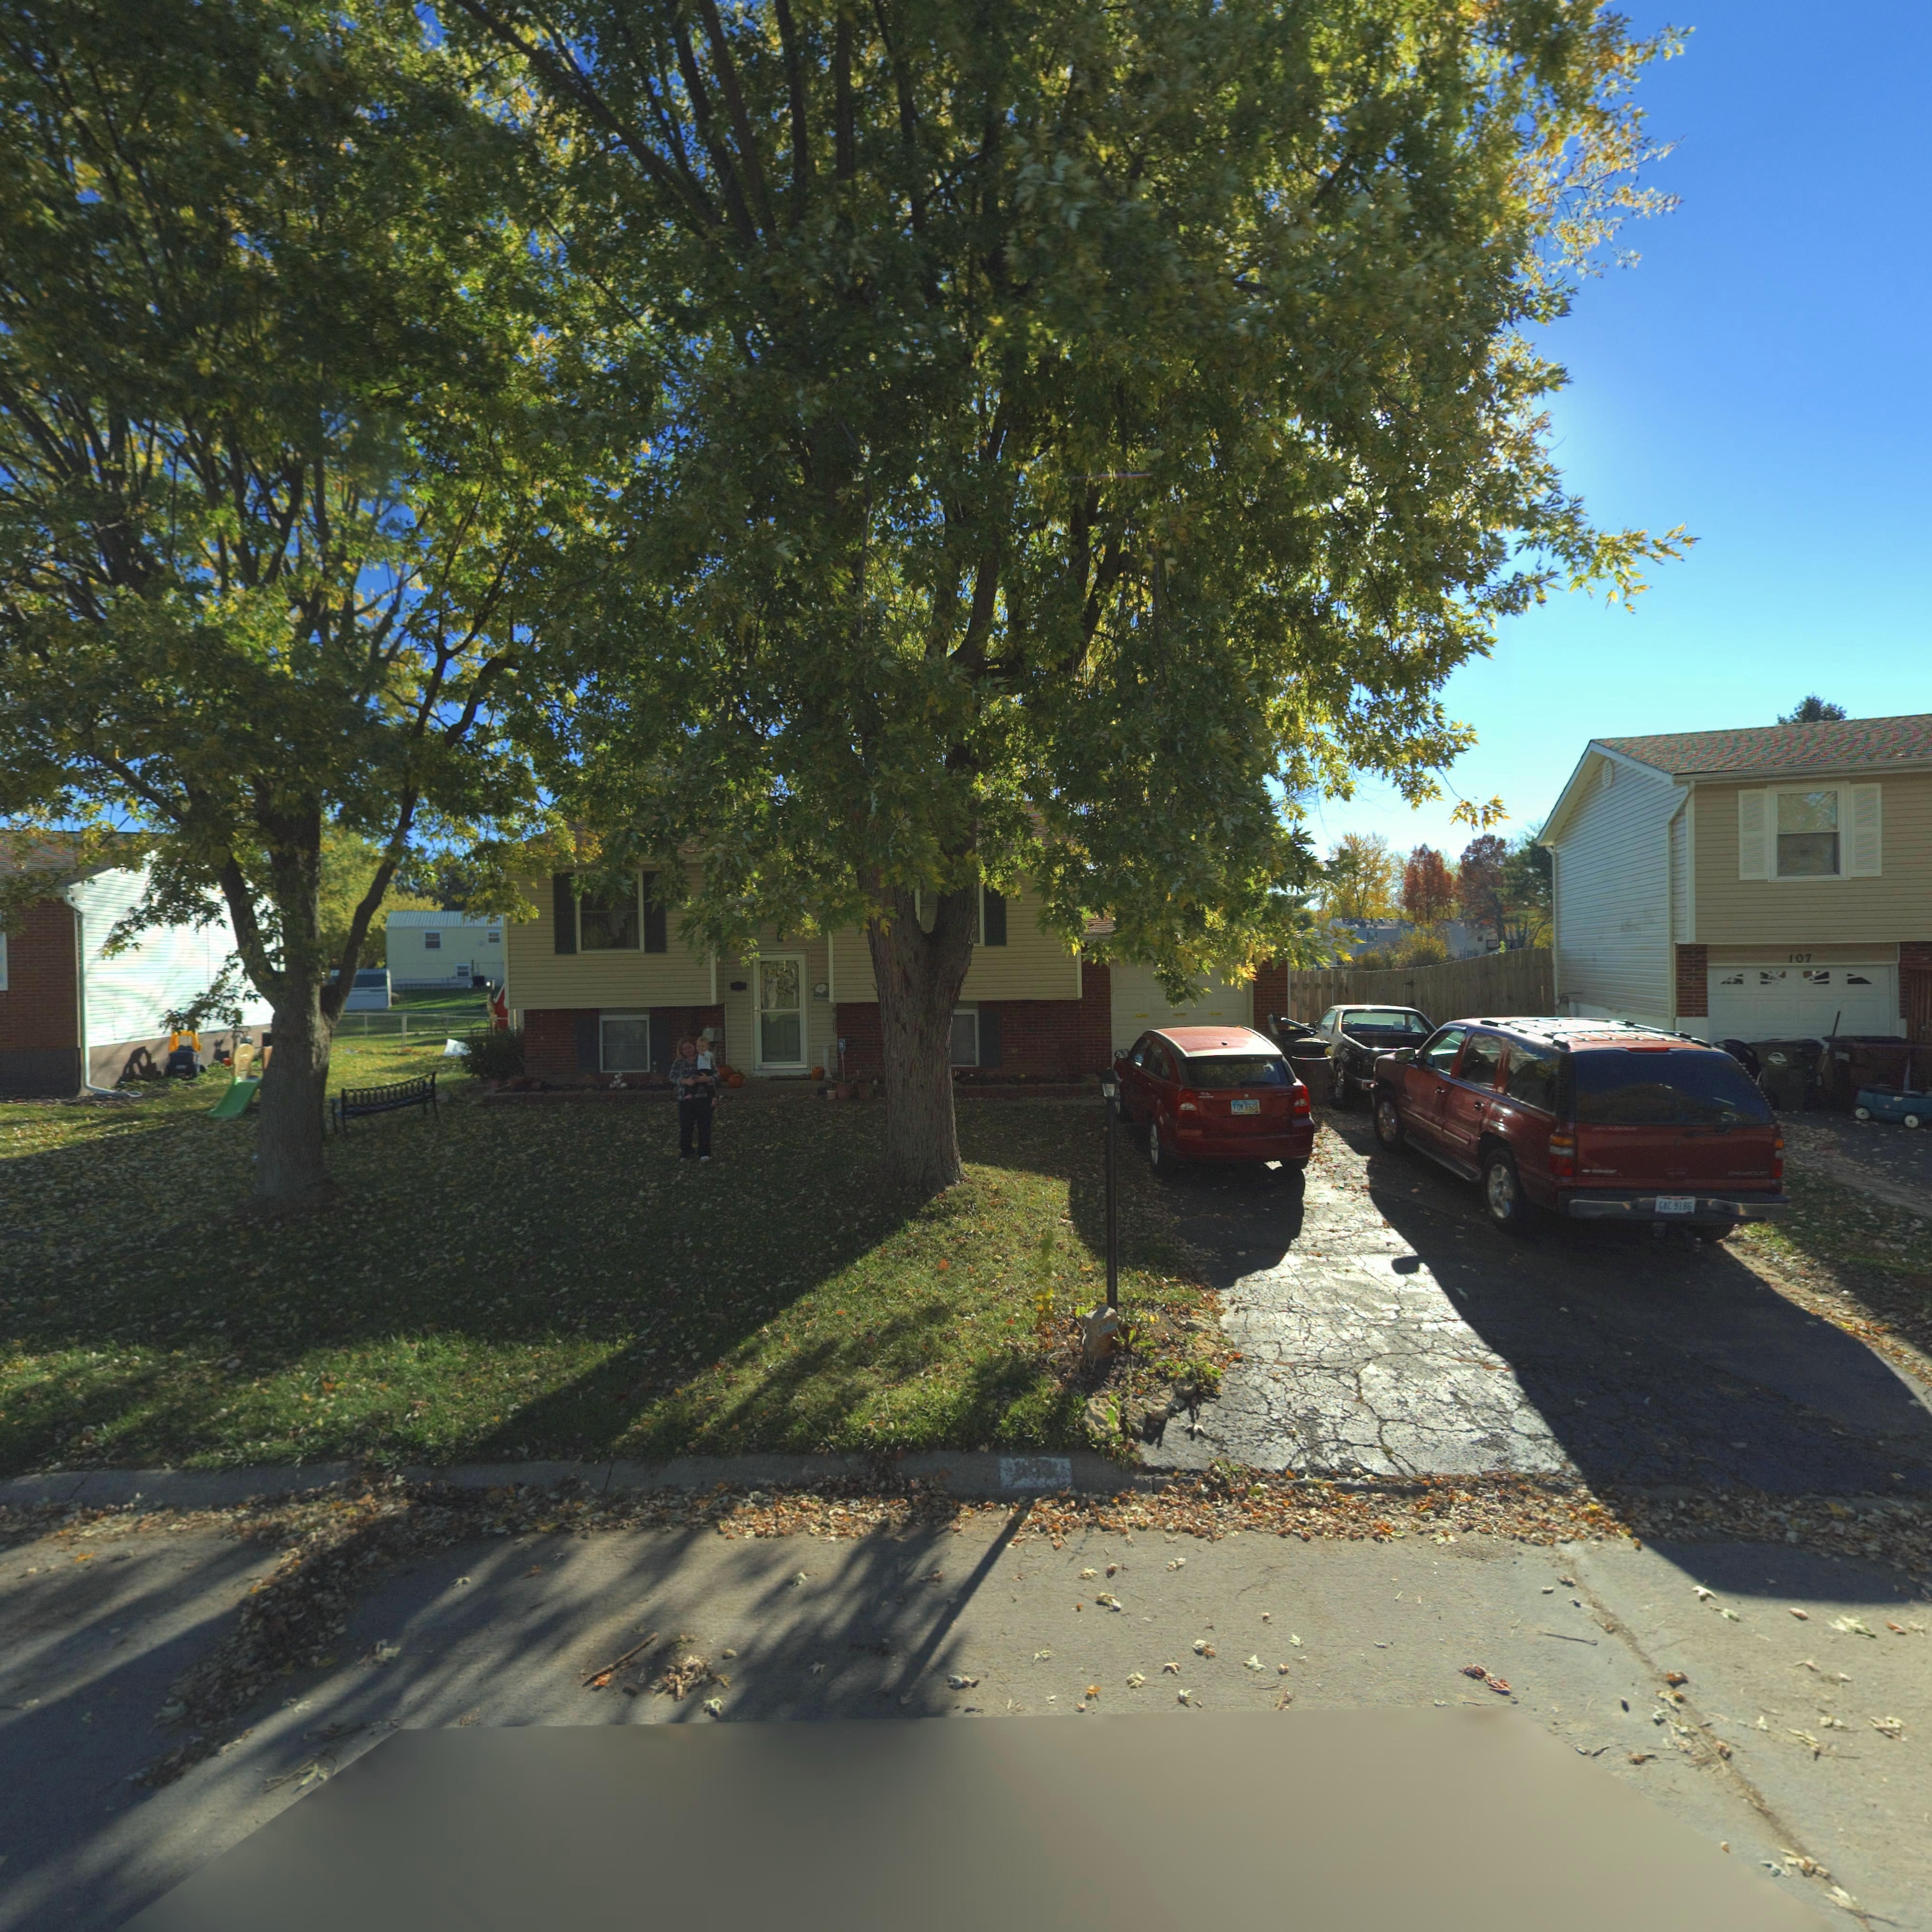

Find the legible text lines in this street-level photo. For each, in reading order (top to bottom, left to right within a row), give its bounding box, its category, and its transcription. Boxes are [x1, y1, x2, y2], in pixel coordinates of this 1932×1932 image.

[1788, 953, 1813, 964] StreetNumber: 107